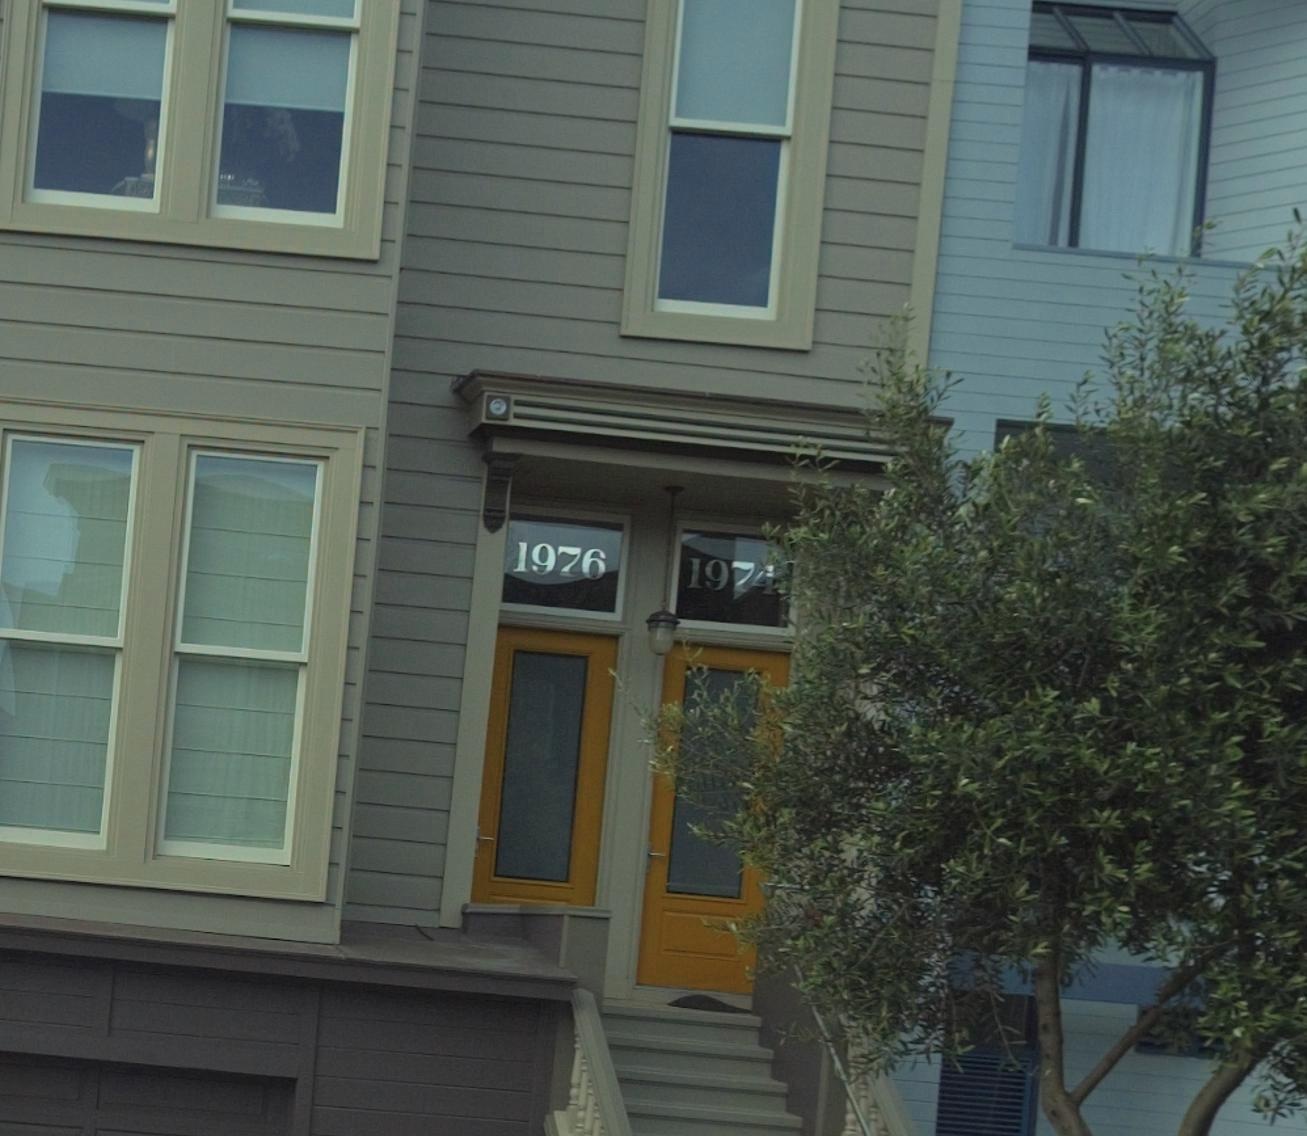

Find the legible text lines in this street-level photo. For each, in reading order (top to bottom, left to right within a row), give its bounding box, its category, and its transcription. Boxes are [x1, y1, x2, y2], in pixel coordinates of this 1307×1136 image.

[508, 534, 612, 584] StreetNumber: 1976
[683, 553, 779, 599] StreetNumber: 1974